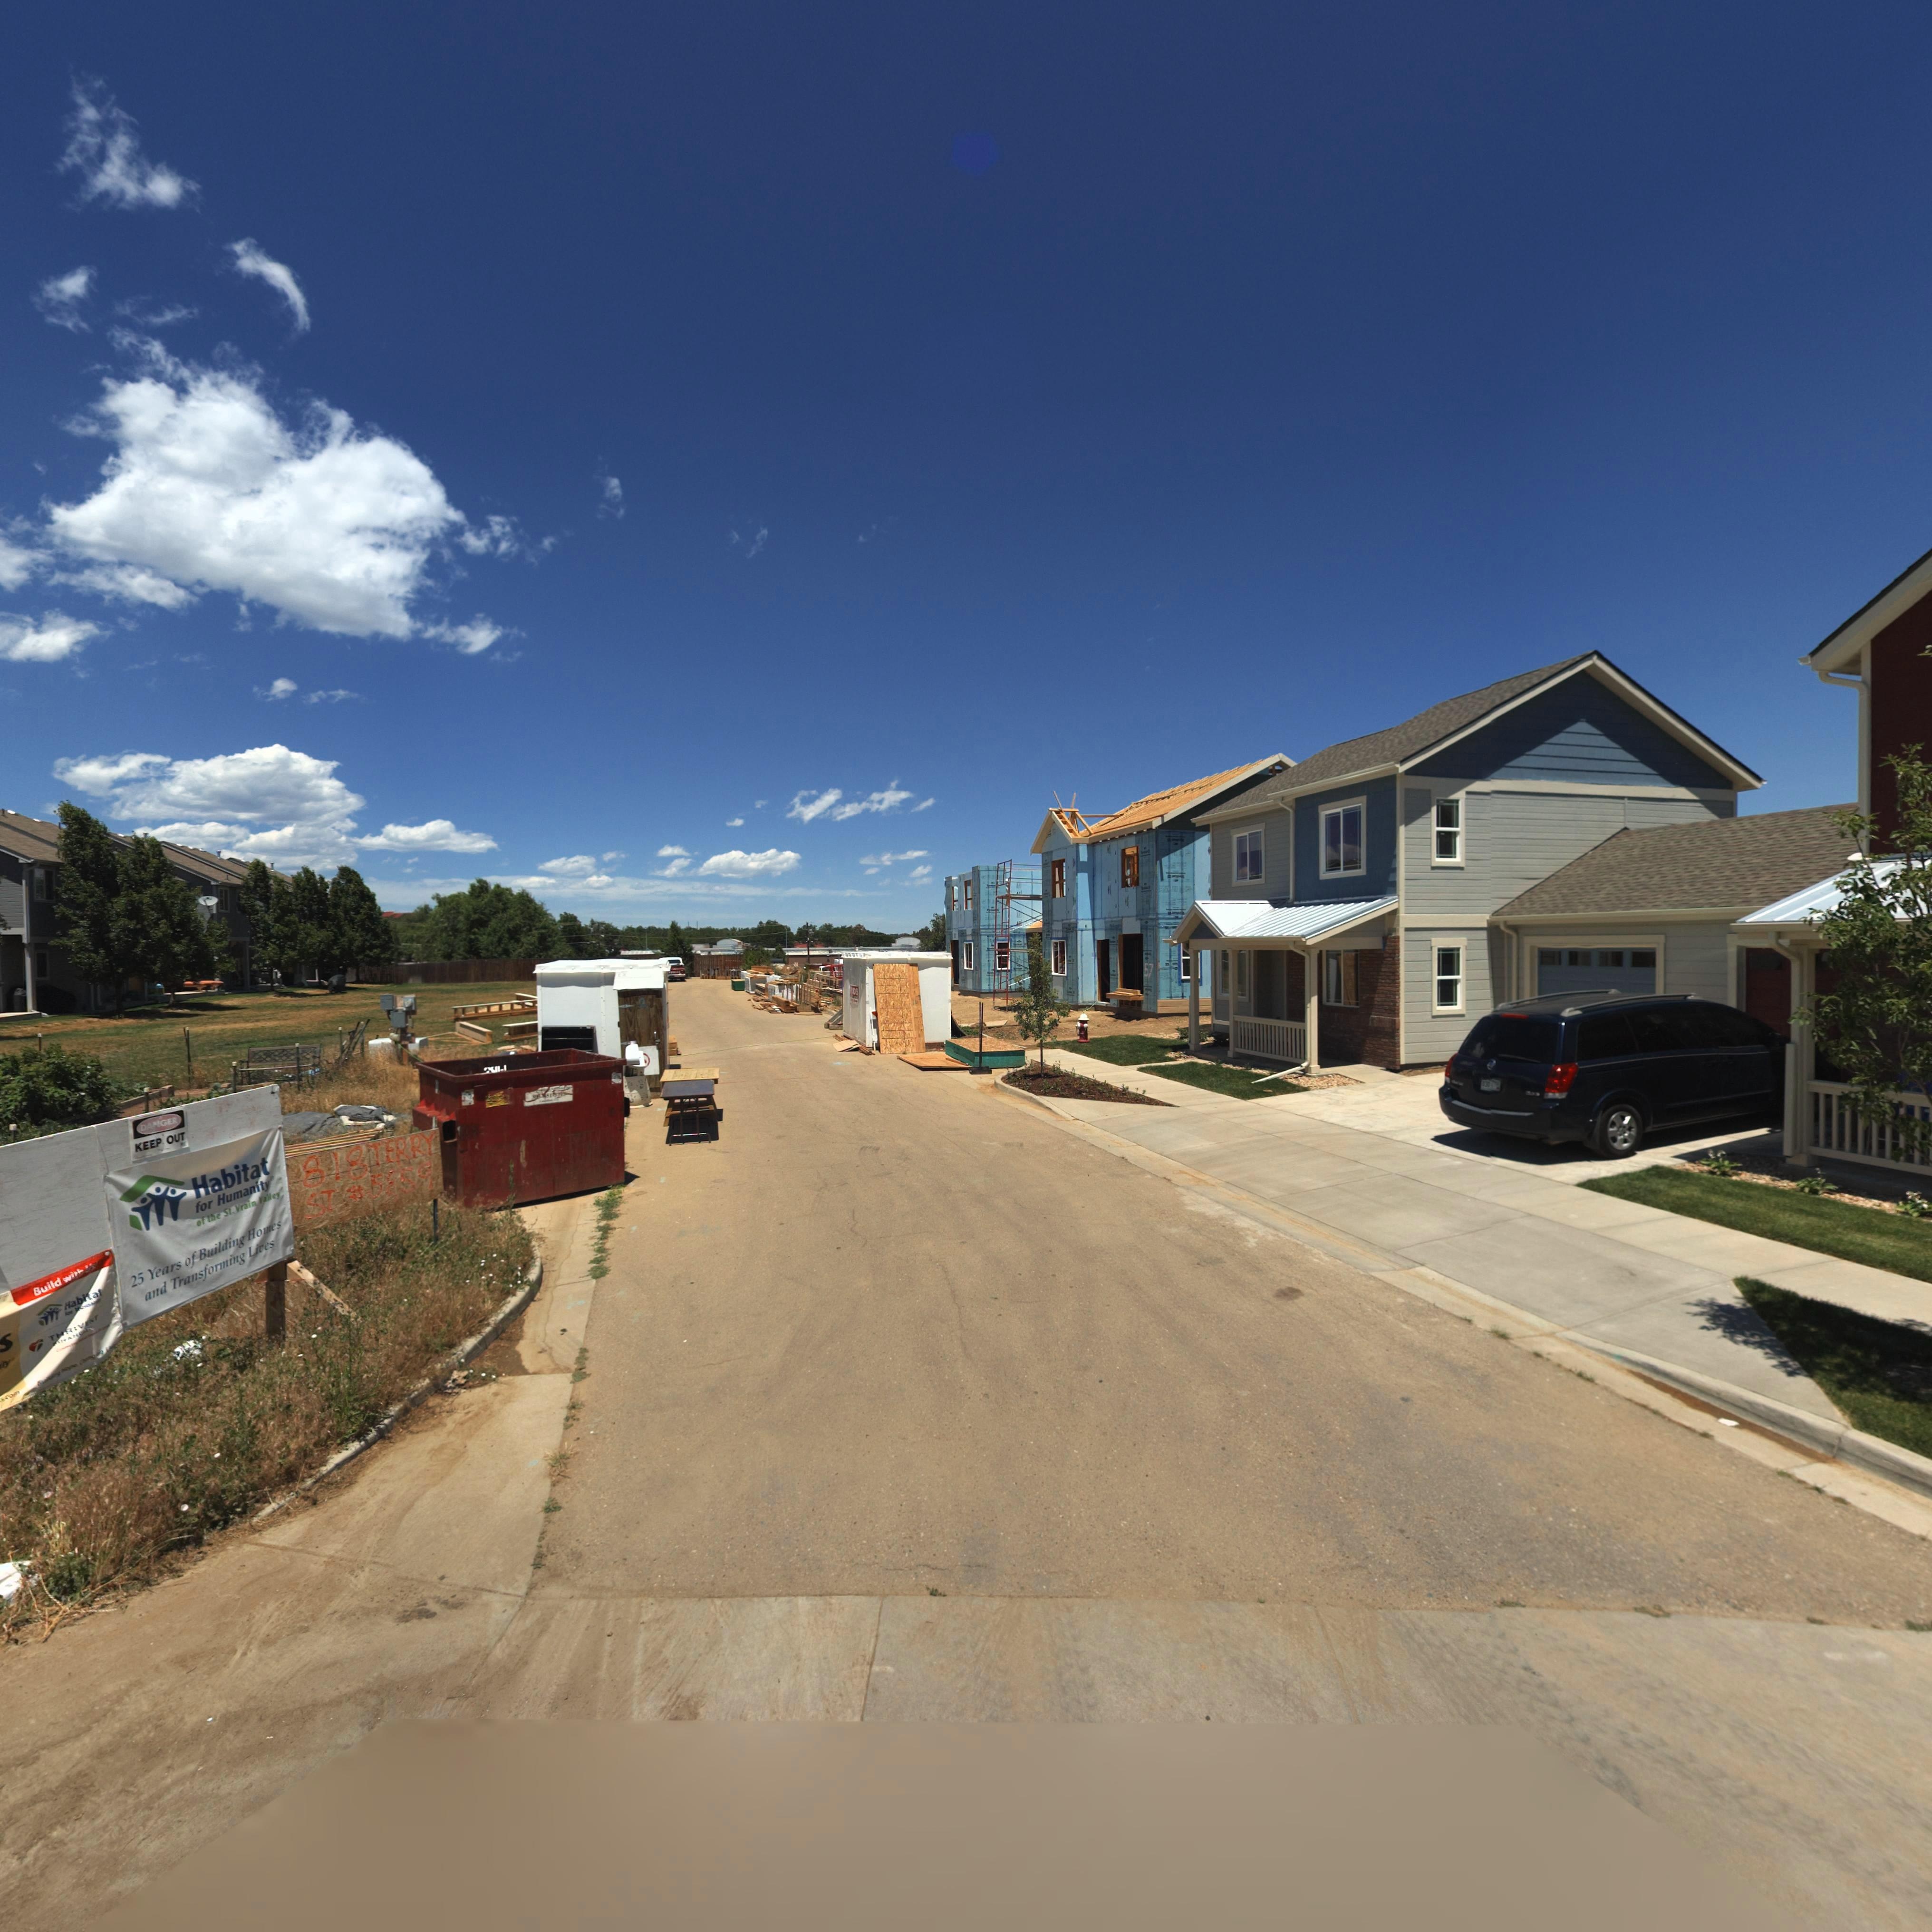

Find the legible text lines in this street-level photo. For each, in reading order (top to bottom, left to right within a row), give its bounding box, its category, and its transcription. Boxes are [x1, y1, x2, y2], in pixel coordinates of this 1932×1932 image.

[301, 1144, 369, 1188] StreetNumber: 818
[364, 1129, 437, 1169] StreetName: TERRY